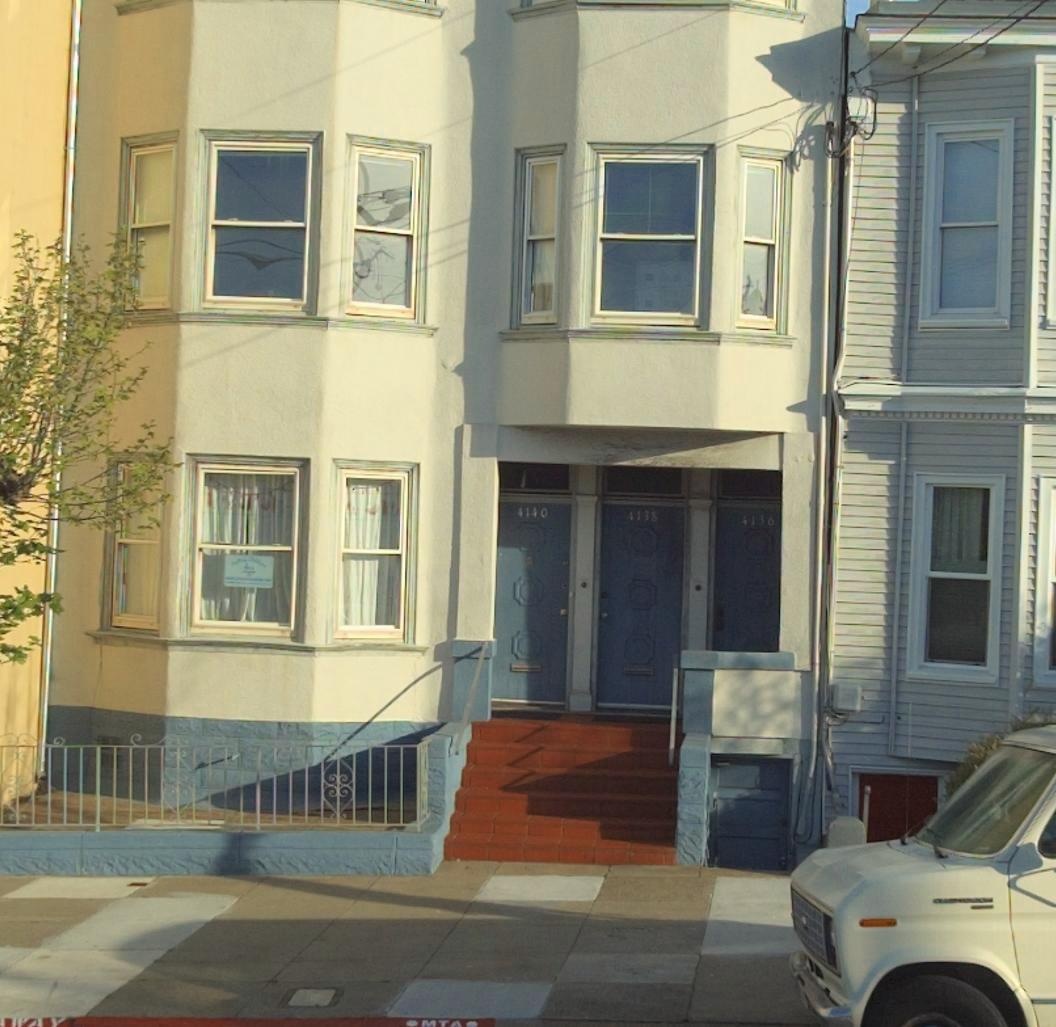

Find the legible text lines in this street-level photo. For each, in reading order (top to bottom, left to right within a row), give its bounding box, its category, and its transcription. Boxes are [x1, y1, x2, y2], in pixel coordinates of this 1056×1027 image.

[515, 505, 550, 521] StreetNumber: 4140
[624, 508, 661, 524] StreetNumber: 4138
[738, 511, 777, 529] StreetNumber: 4136
[9, 1015, 69, 1027] None: WAY
[421, 1017, 452, 1027] None: MT